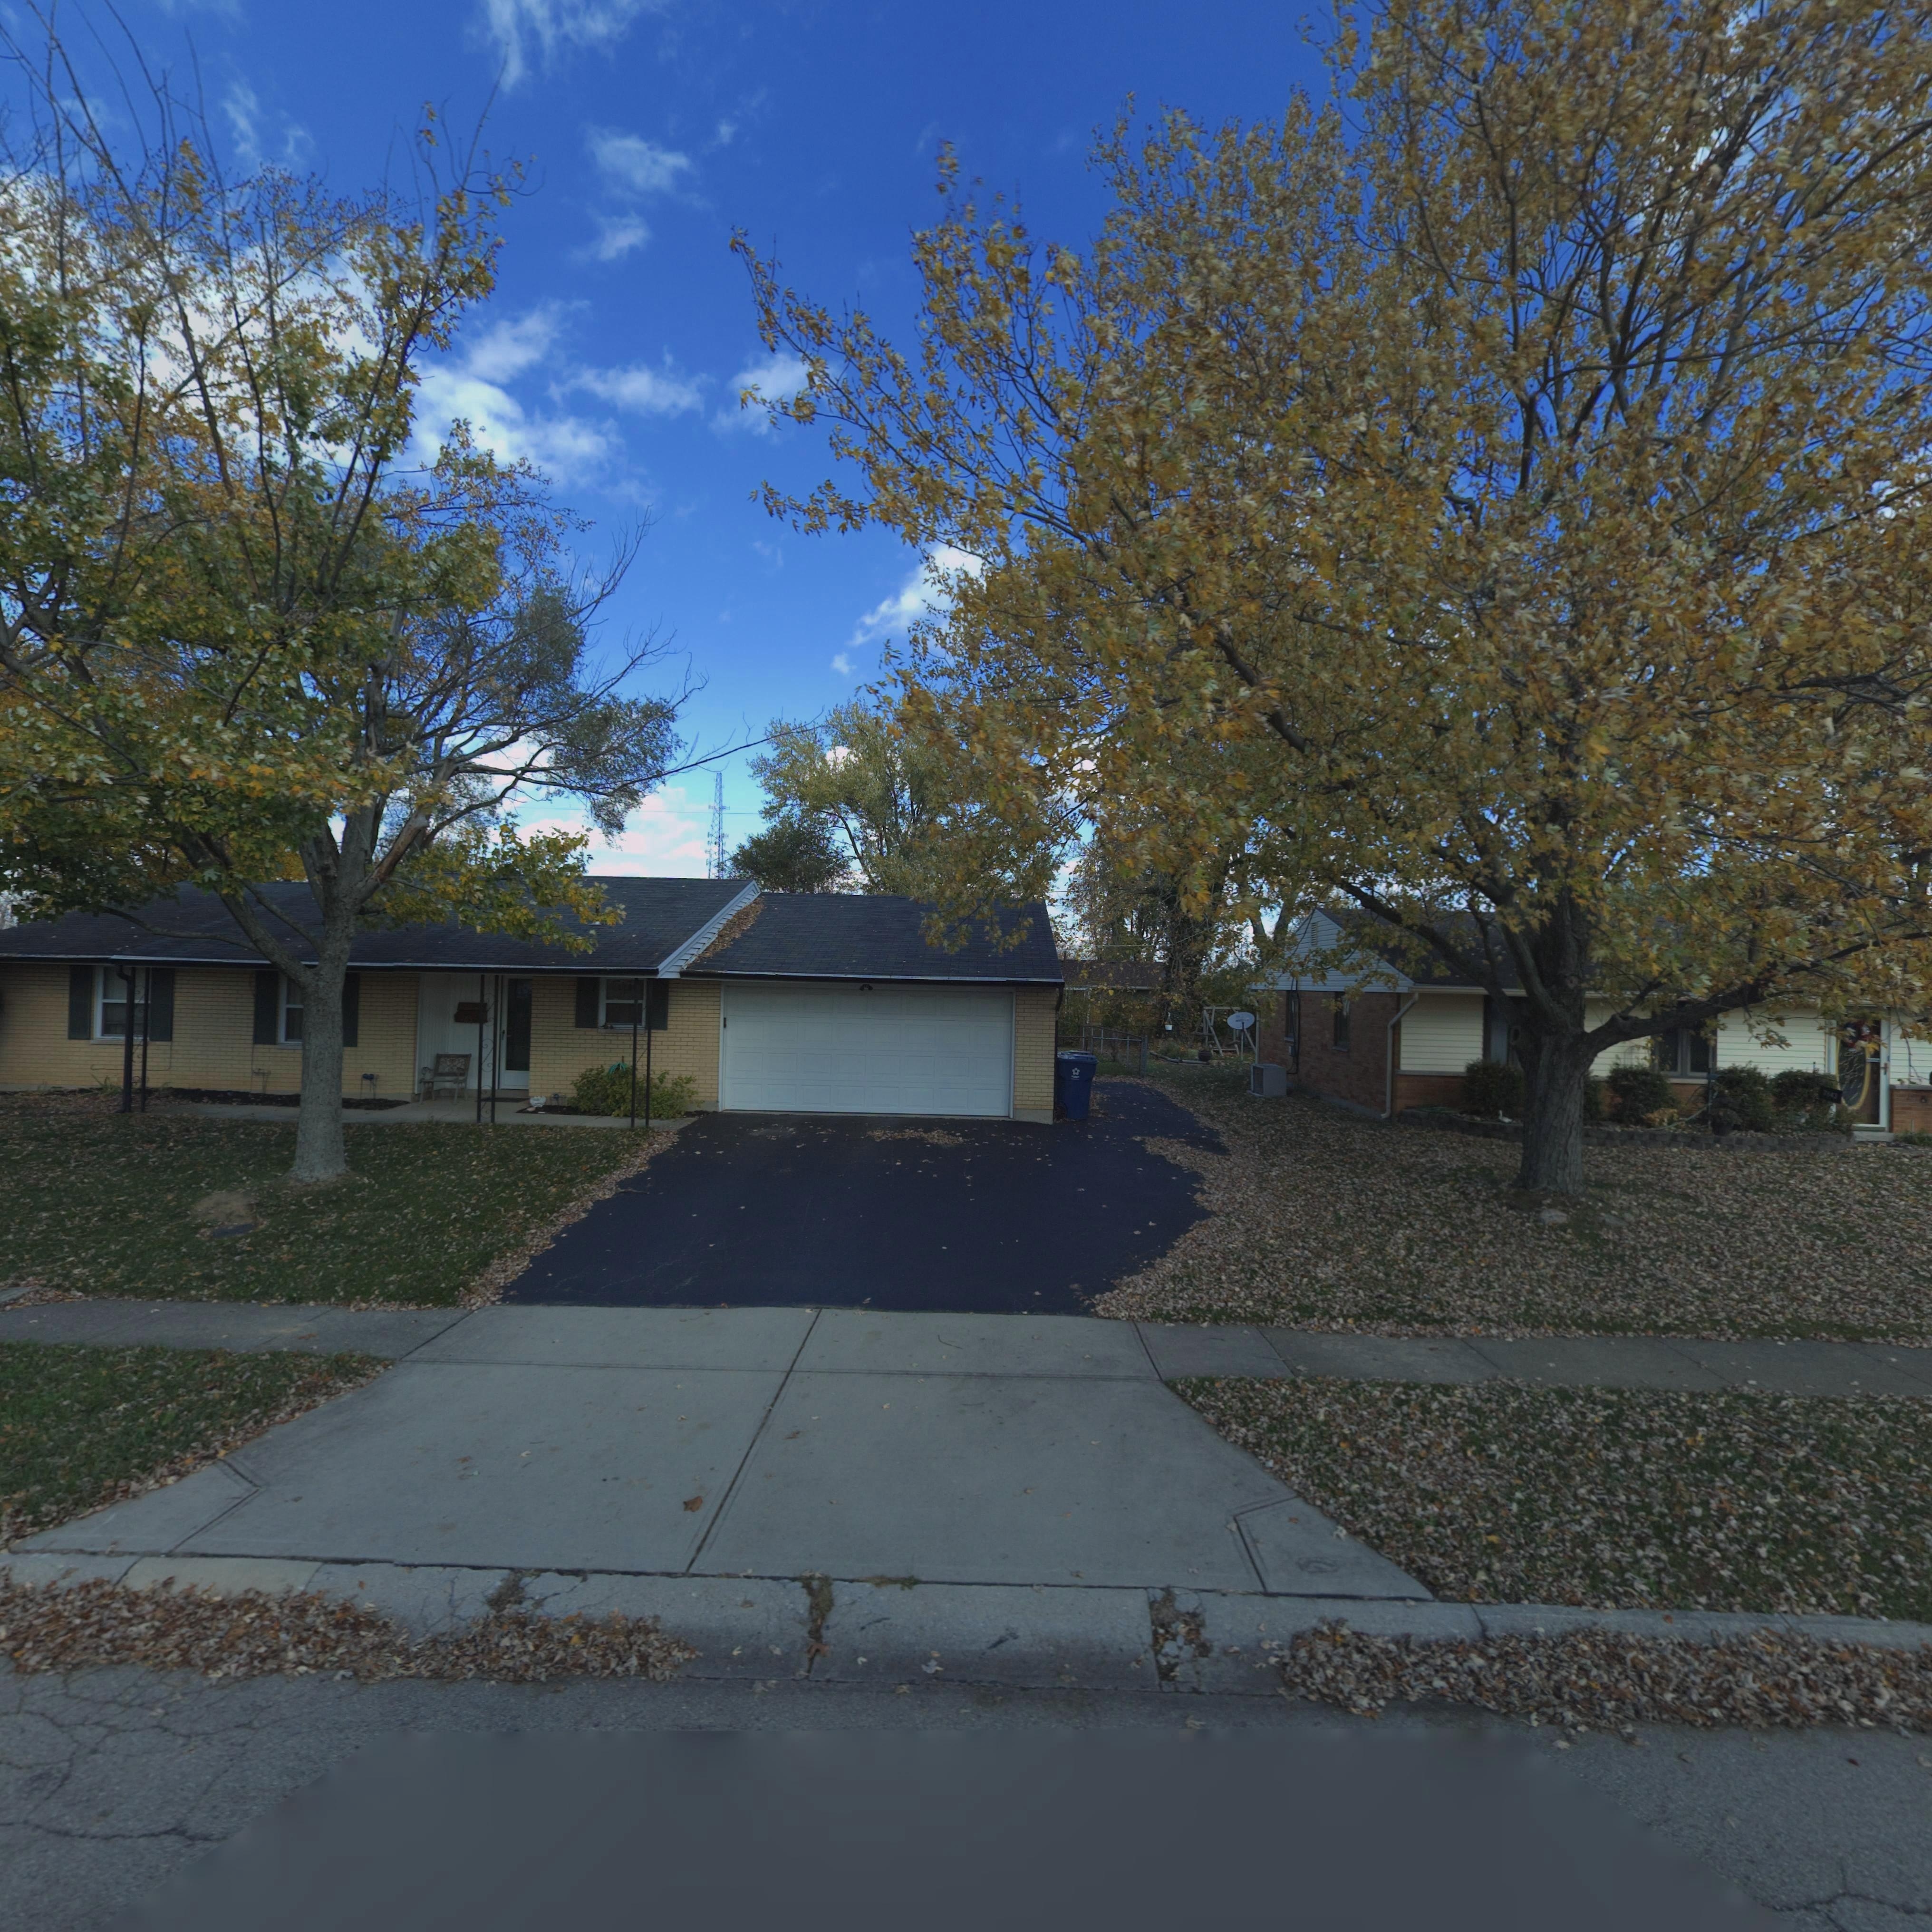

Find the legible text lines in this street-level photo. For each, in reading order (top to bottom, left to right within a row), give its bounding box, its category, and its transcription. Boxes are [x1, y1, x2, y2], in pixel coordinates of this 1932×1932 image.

[464, 1015, 473, 1023] StreetNumber: 85
[1823, 1089, 1838, 1100] StreetNumber: 7843